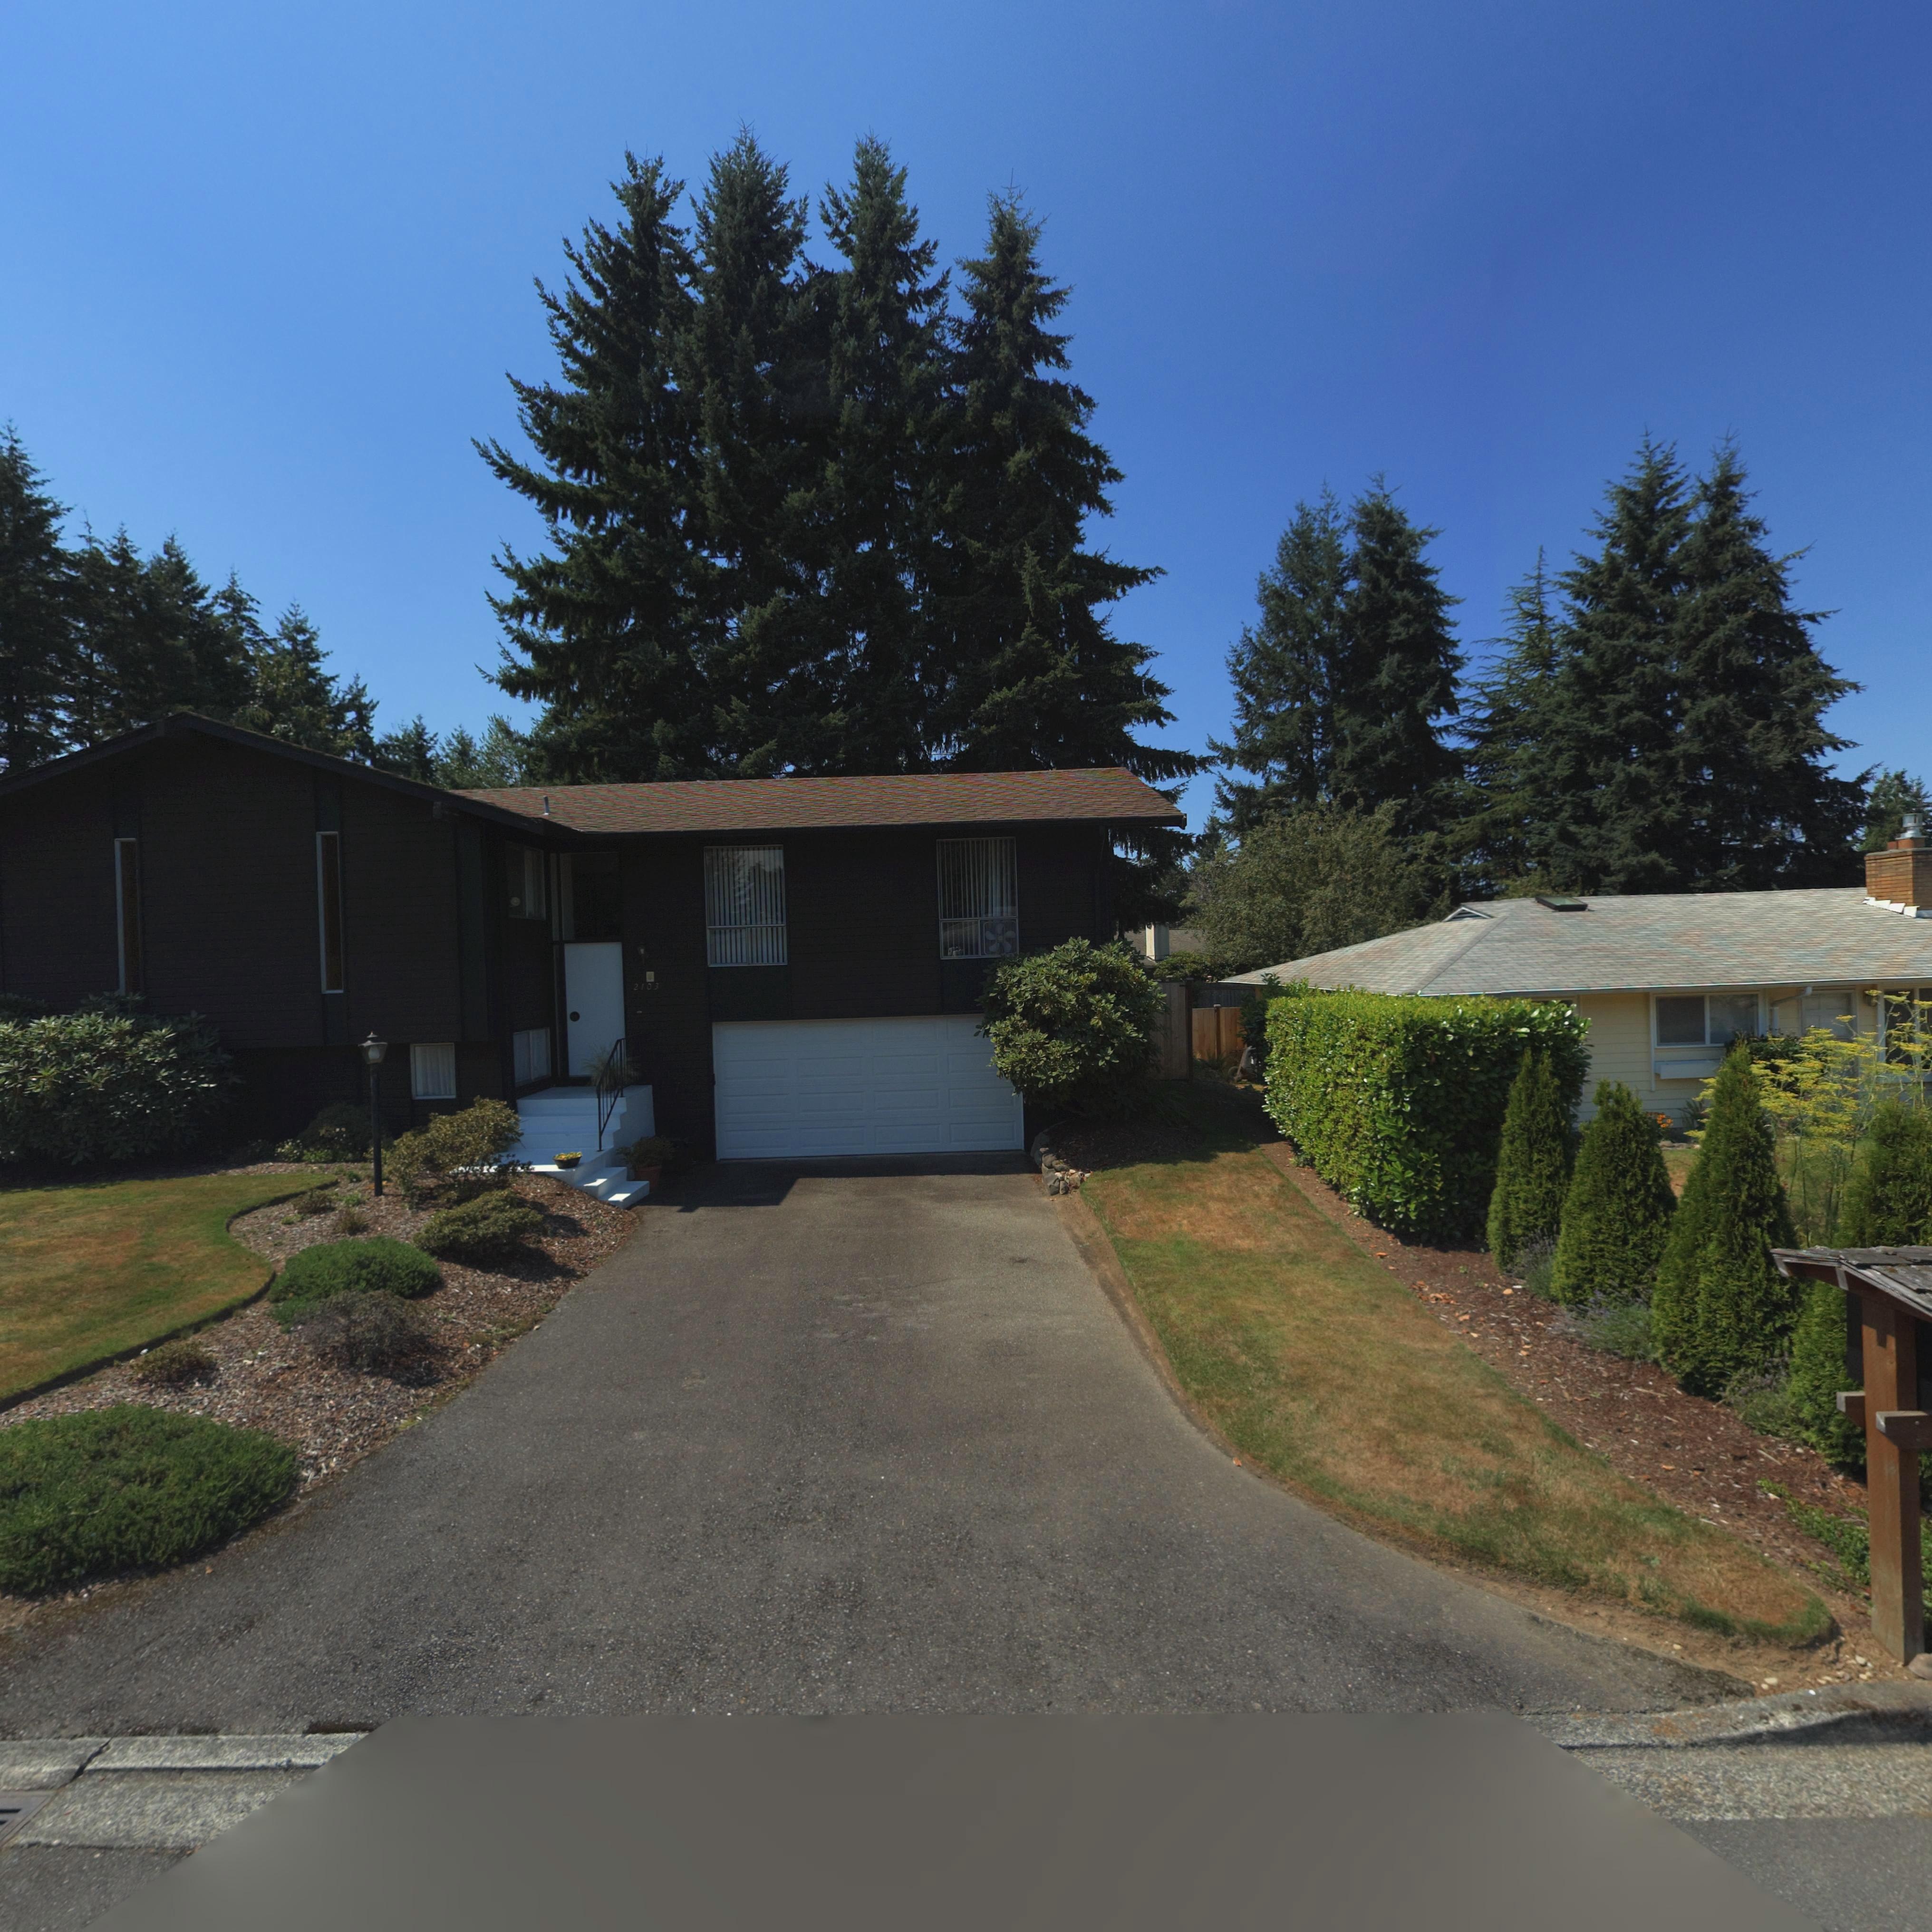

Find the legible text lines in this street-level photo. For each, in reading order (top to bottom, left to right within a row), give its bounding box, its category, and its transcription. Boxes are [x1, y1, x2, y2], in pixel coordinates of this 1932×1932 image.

[634, 983, 658, 990] StreetNumber: 2103